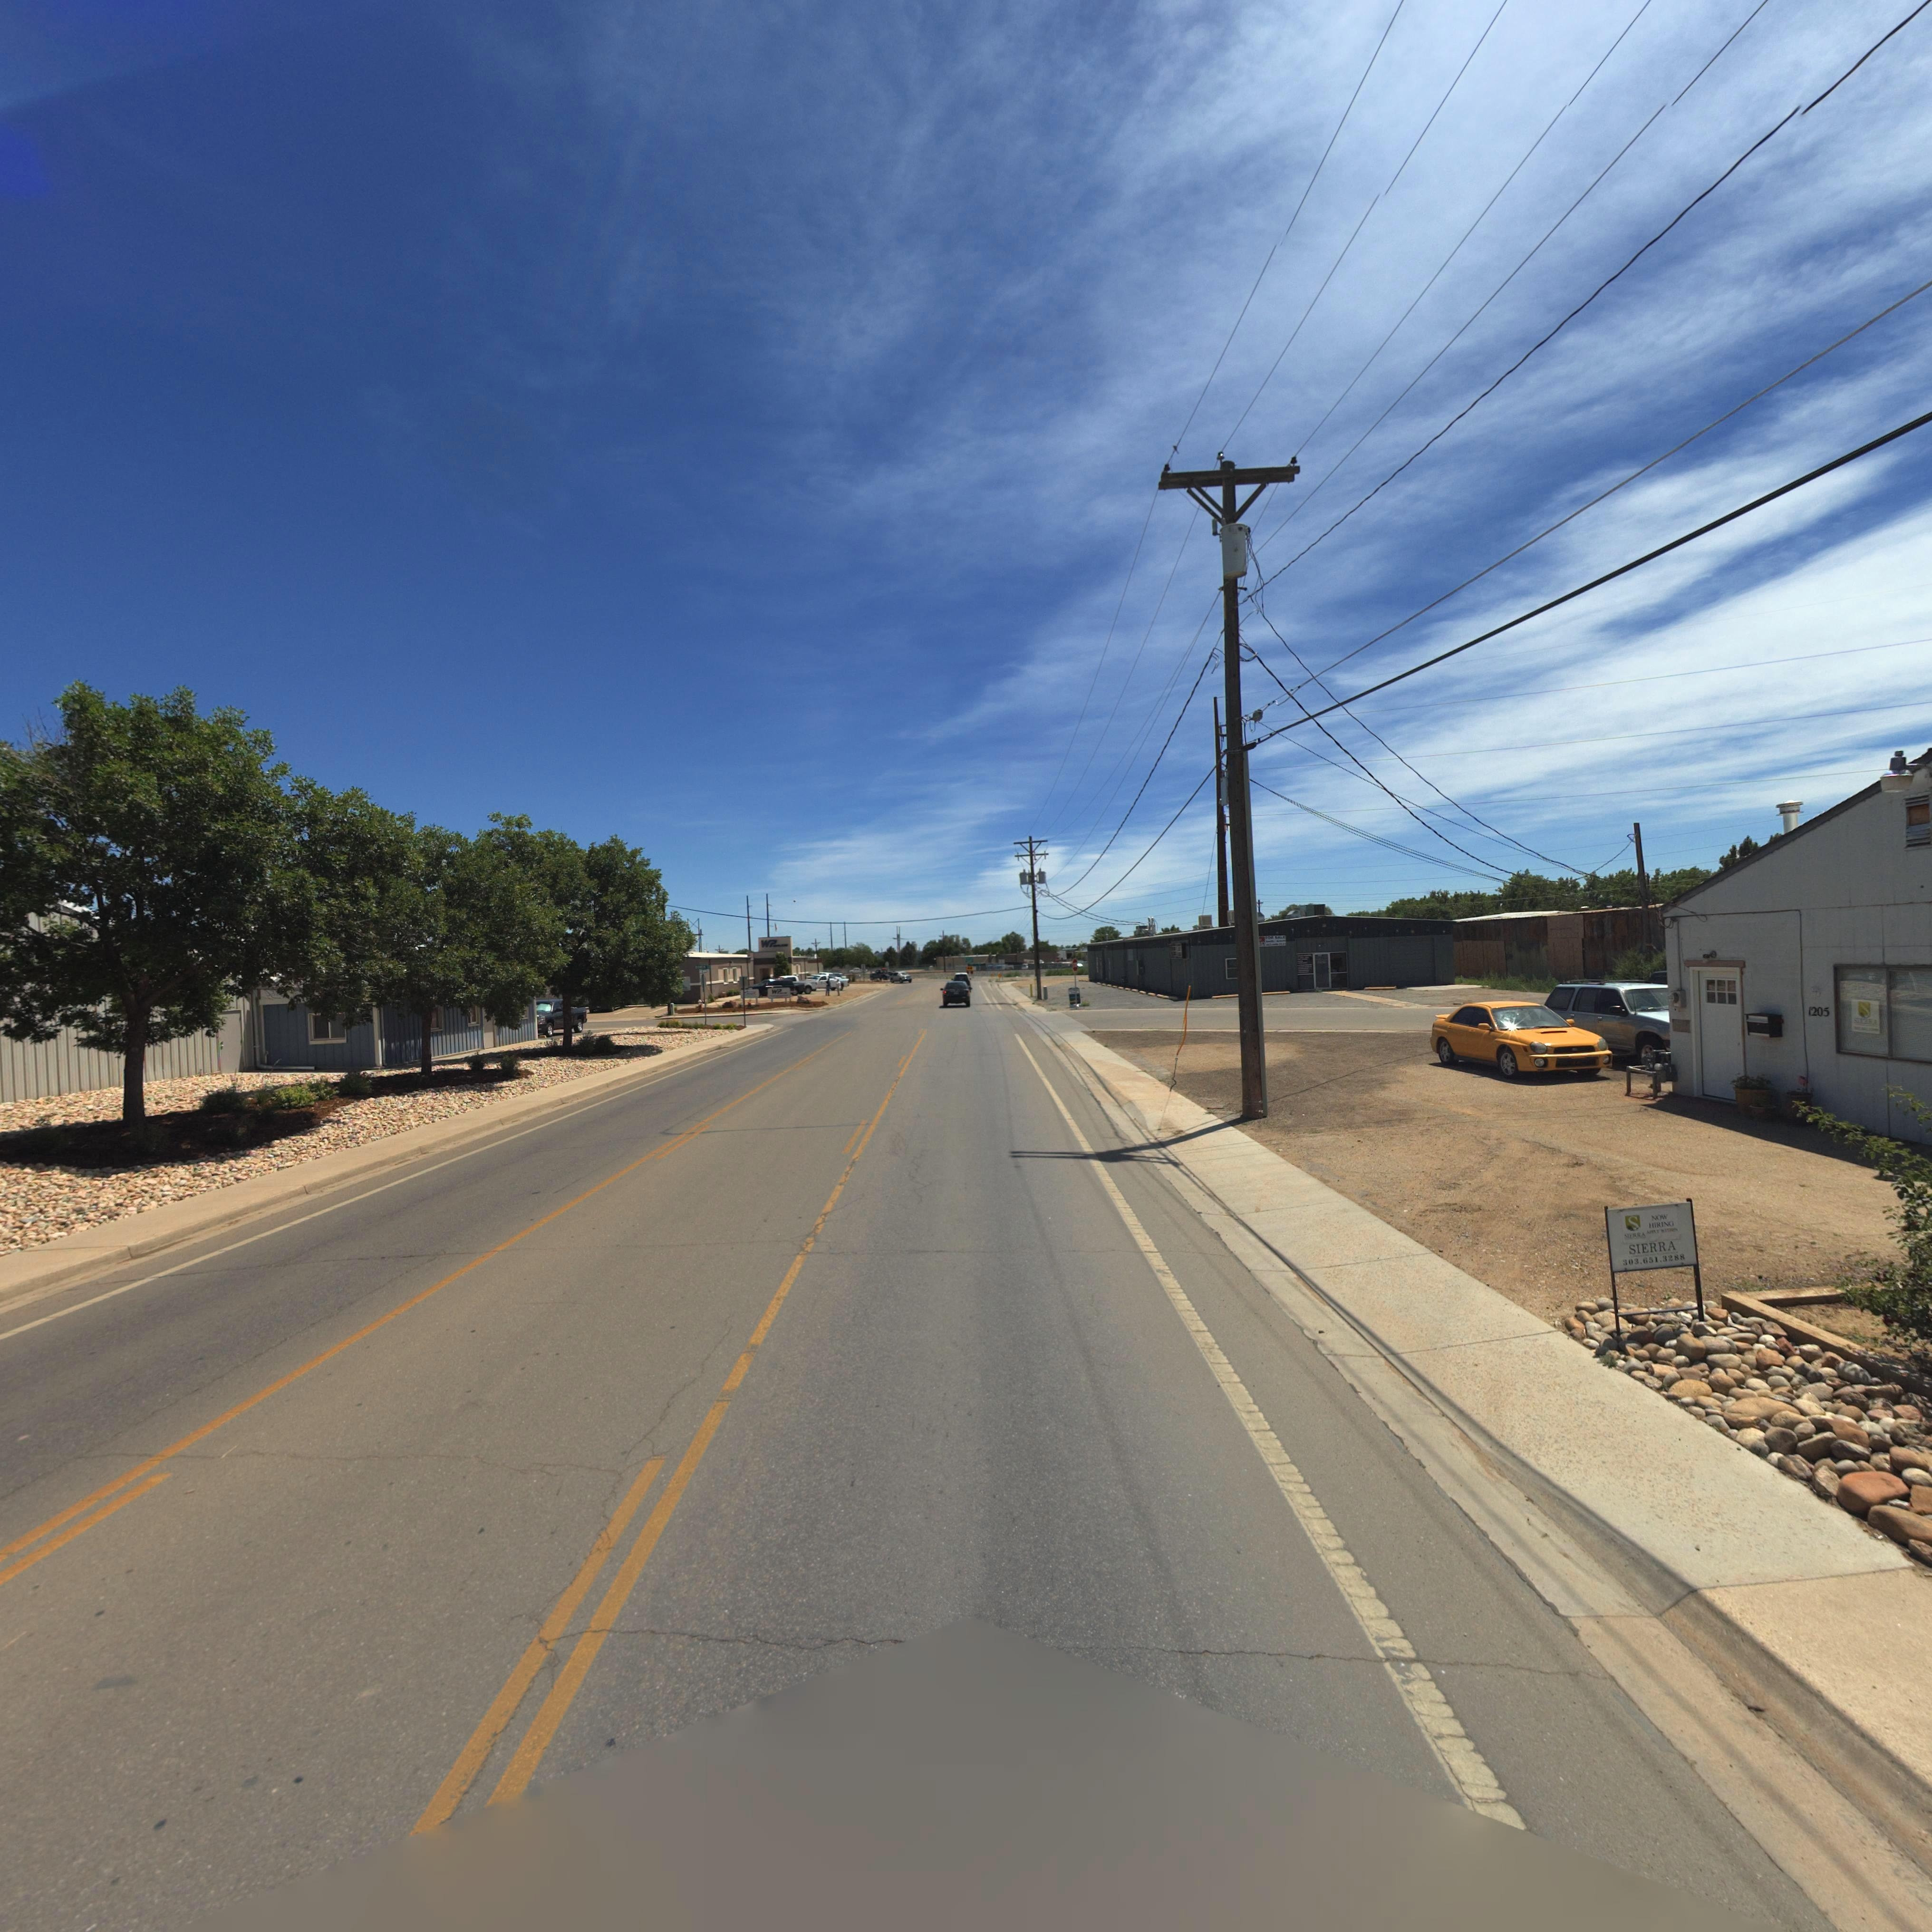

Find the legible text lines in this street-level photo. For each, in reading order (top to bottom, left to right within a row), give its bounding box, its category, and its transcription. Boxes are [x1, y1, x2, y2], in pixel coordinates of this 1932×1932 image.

[760, 939, 777, 947] BusinessName: WP
[771, 988, 782, 994] BusinessName: WP
[1807, 1006, 1830, 1017] StreetNumber: 1205
[1853, 1017, 1877, 1025] BusinessName: SIERRA
[1623, 1231, 1647, 1239] BusinessName: SIERRA
[1627, 1240, 1677, 1255] BusinessName: SIERRA